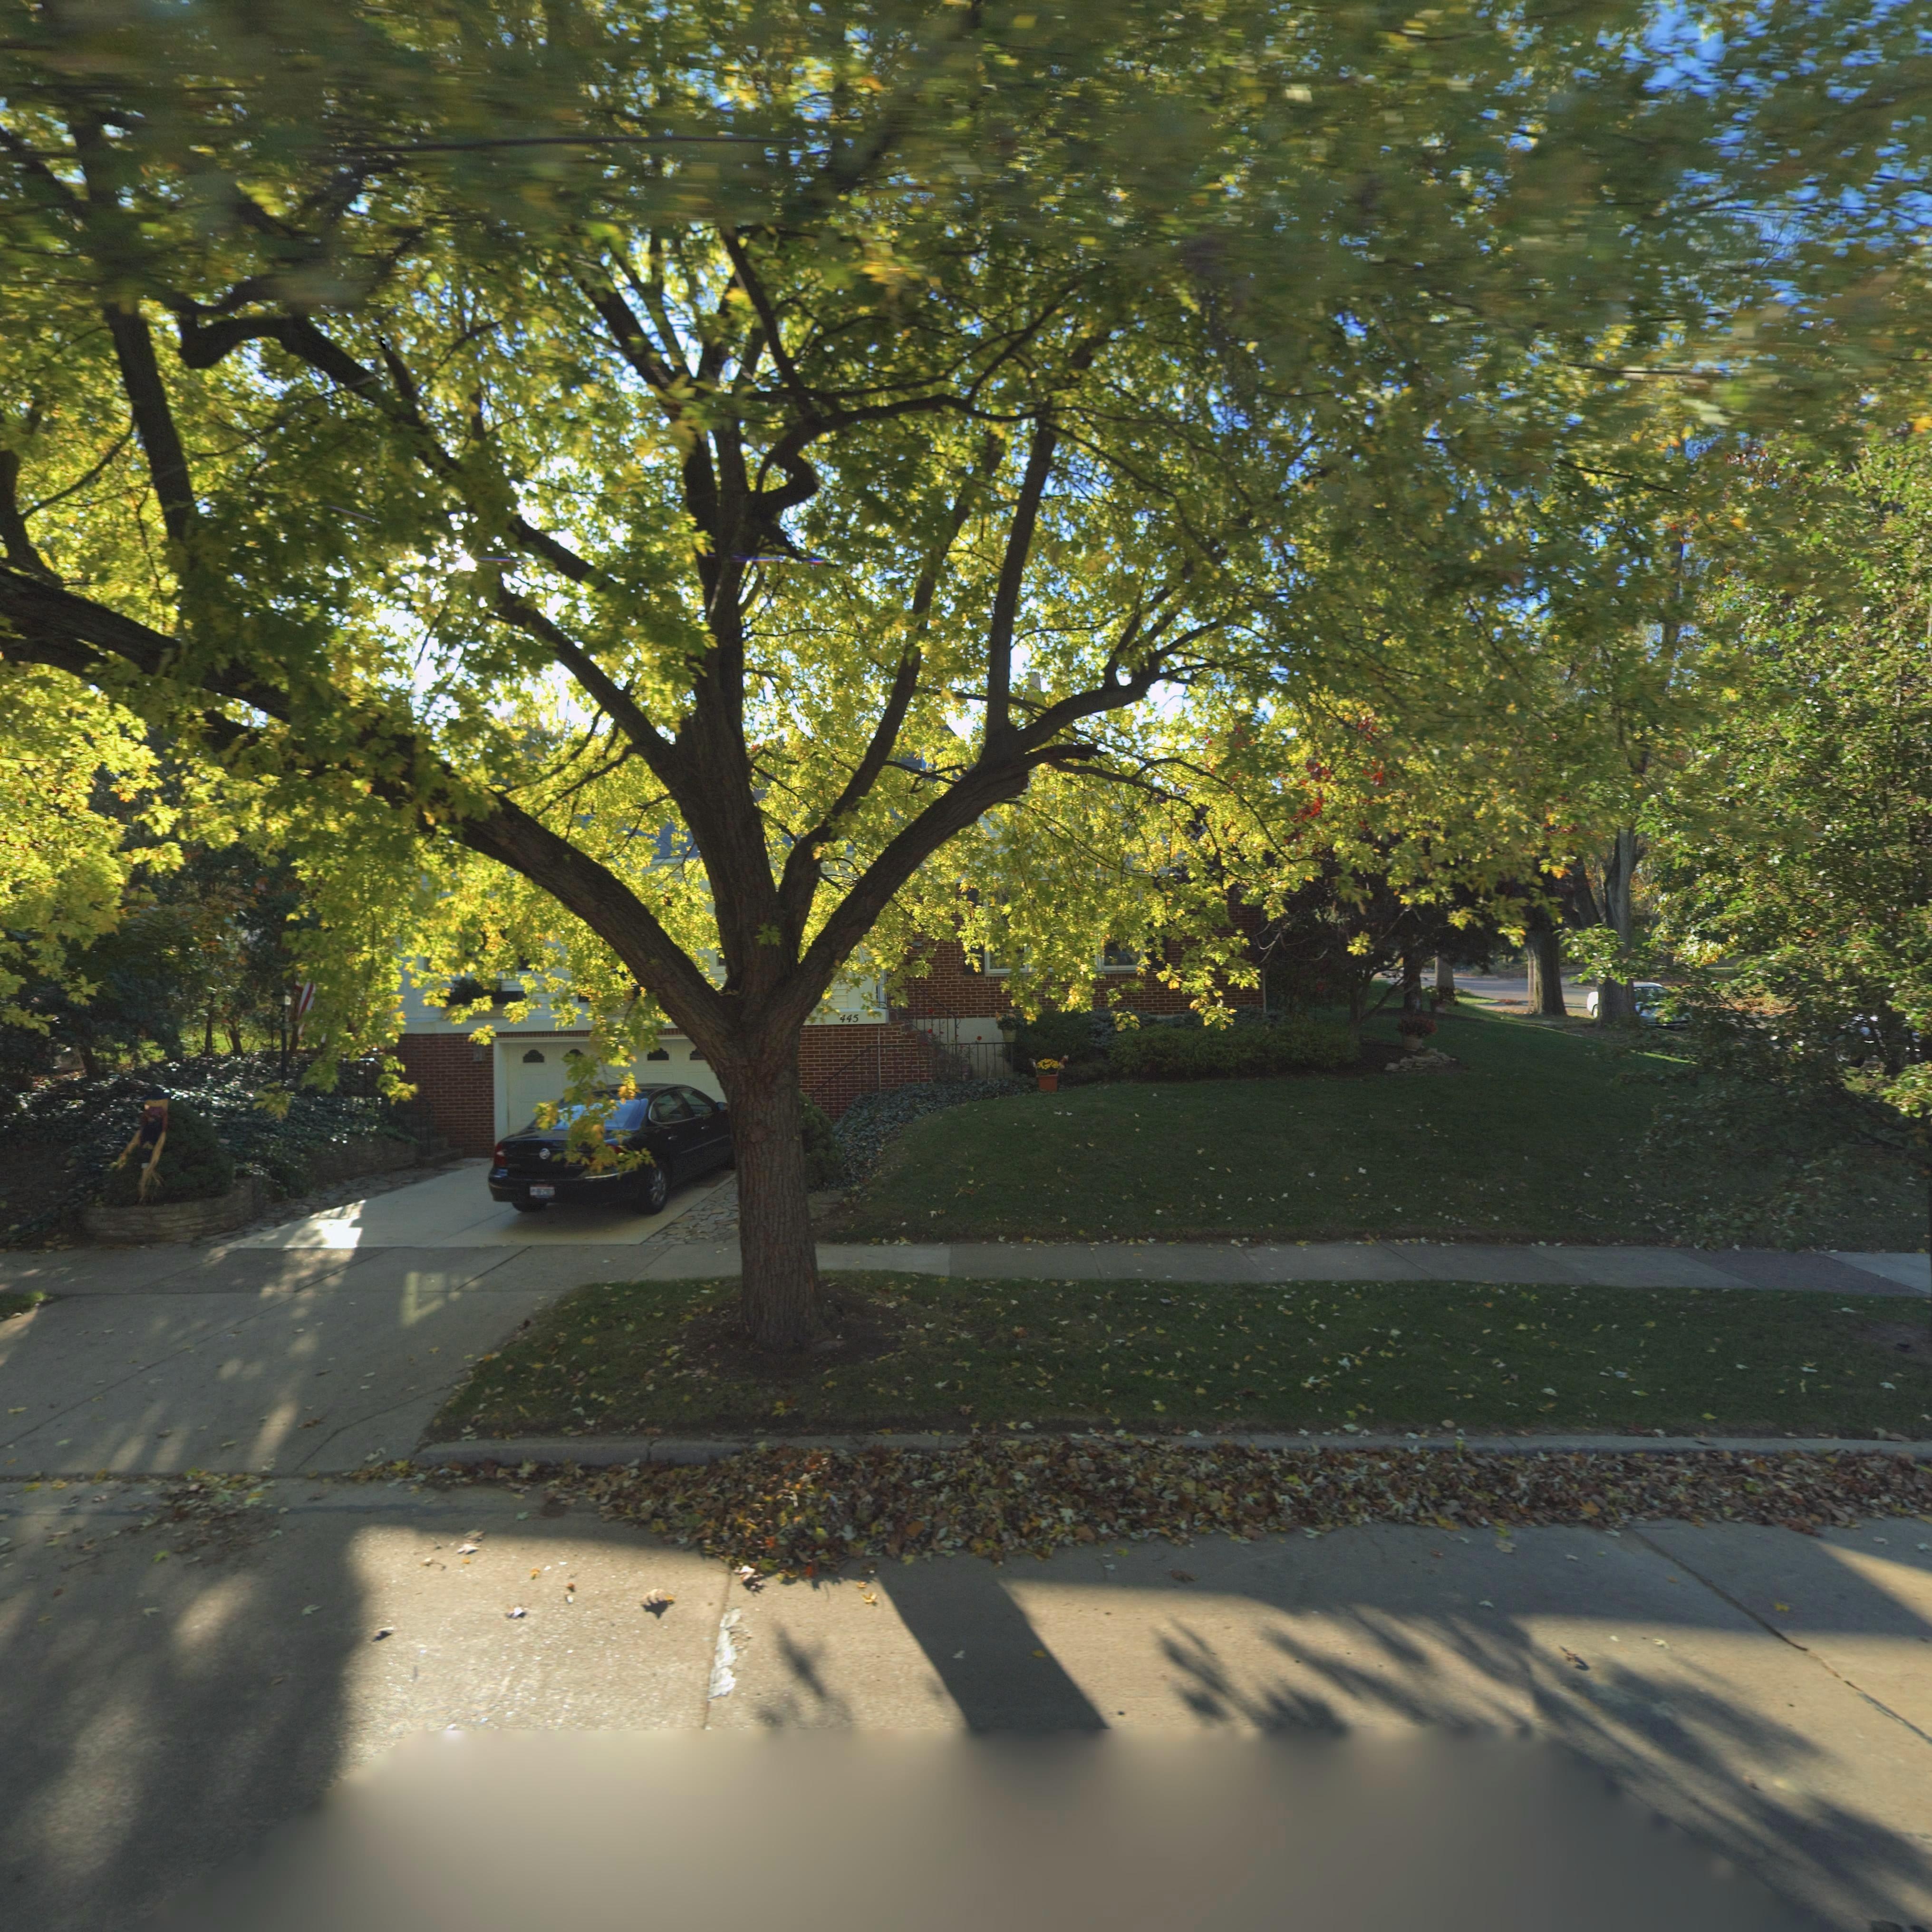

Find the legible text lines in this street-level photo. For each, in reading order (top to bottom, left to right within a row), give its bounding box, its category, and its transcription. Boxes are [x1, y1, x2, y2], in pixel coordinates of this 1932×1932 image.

[839, 1014, 859, 1023] StreetNumber: 445